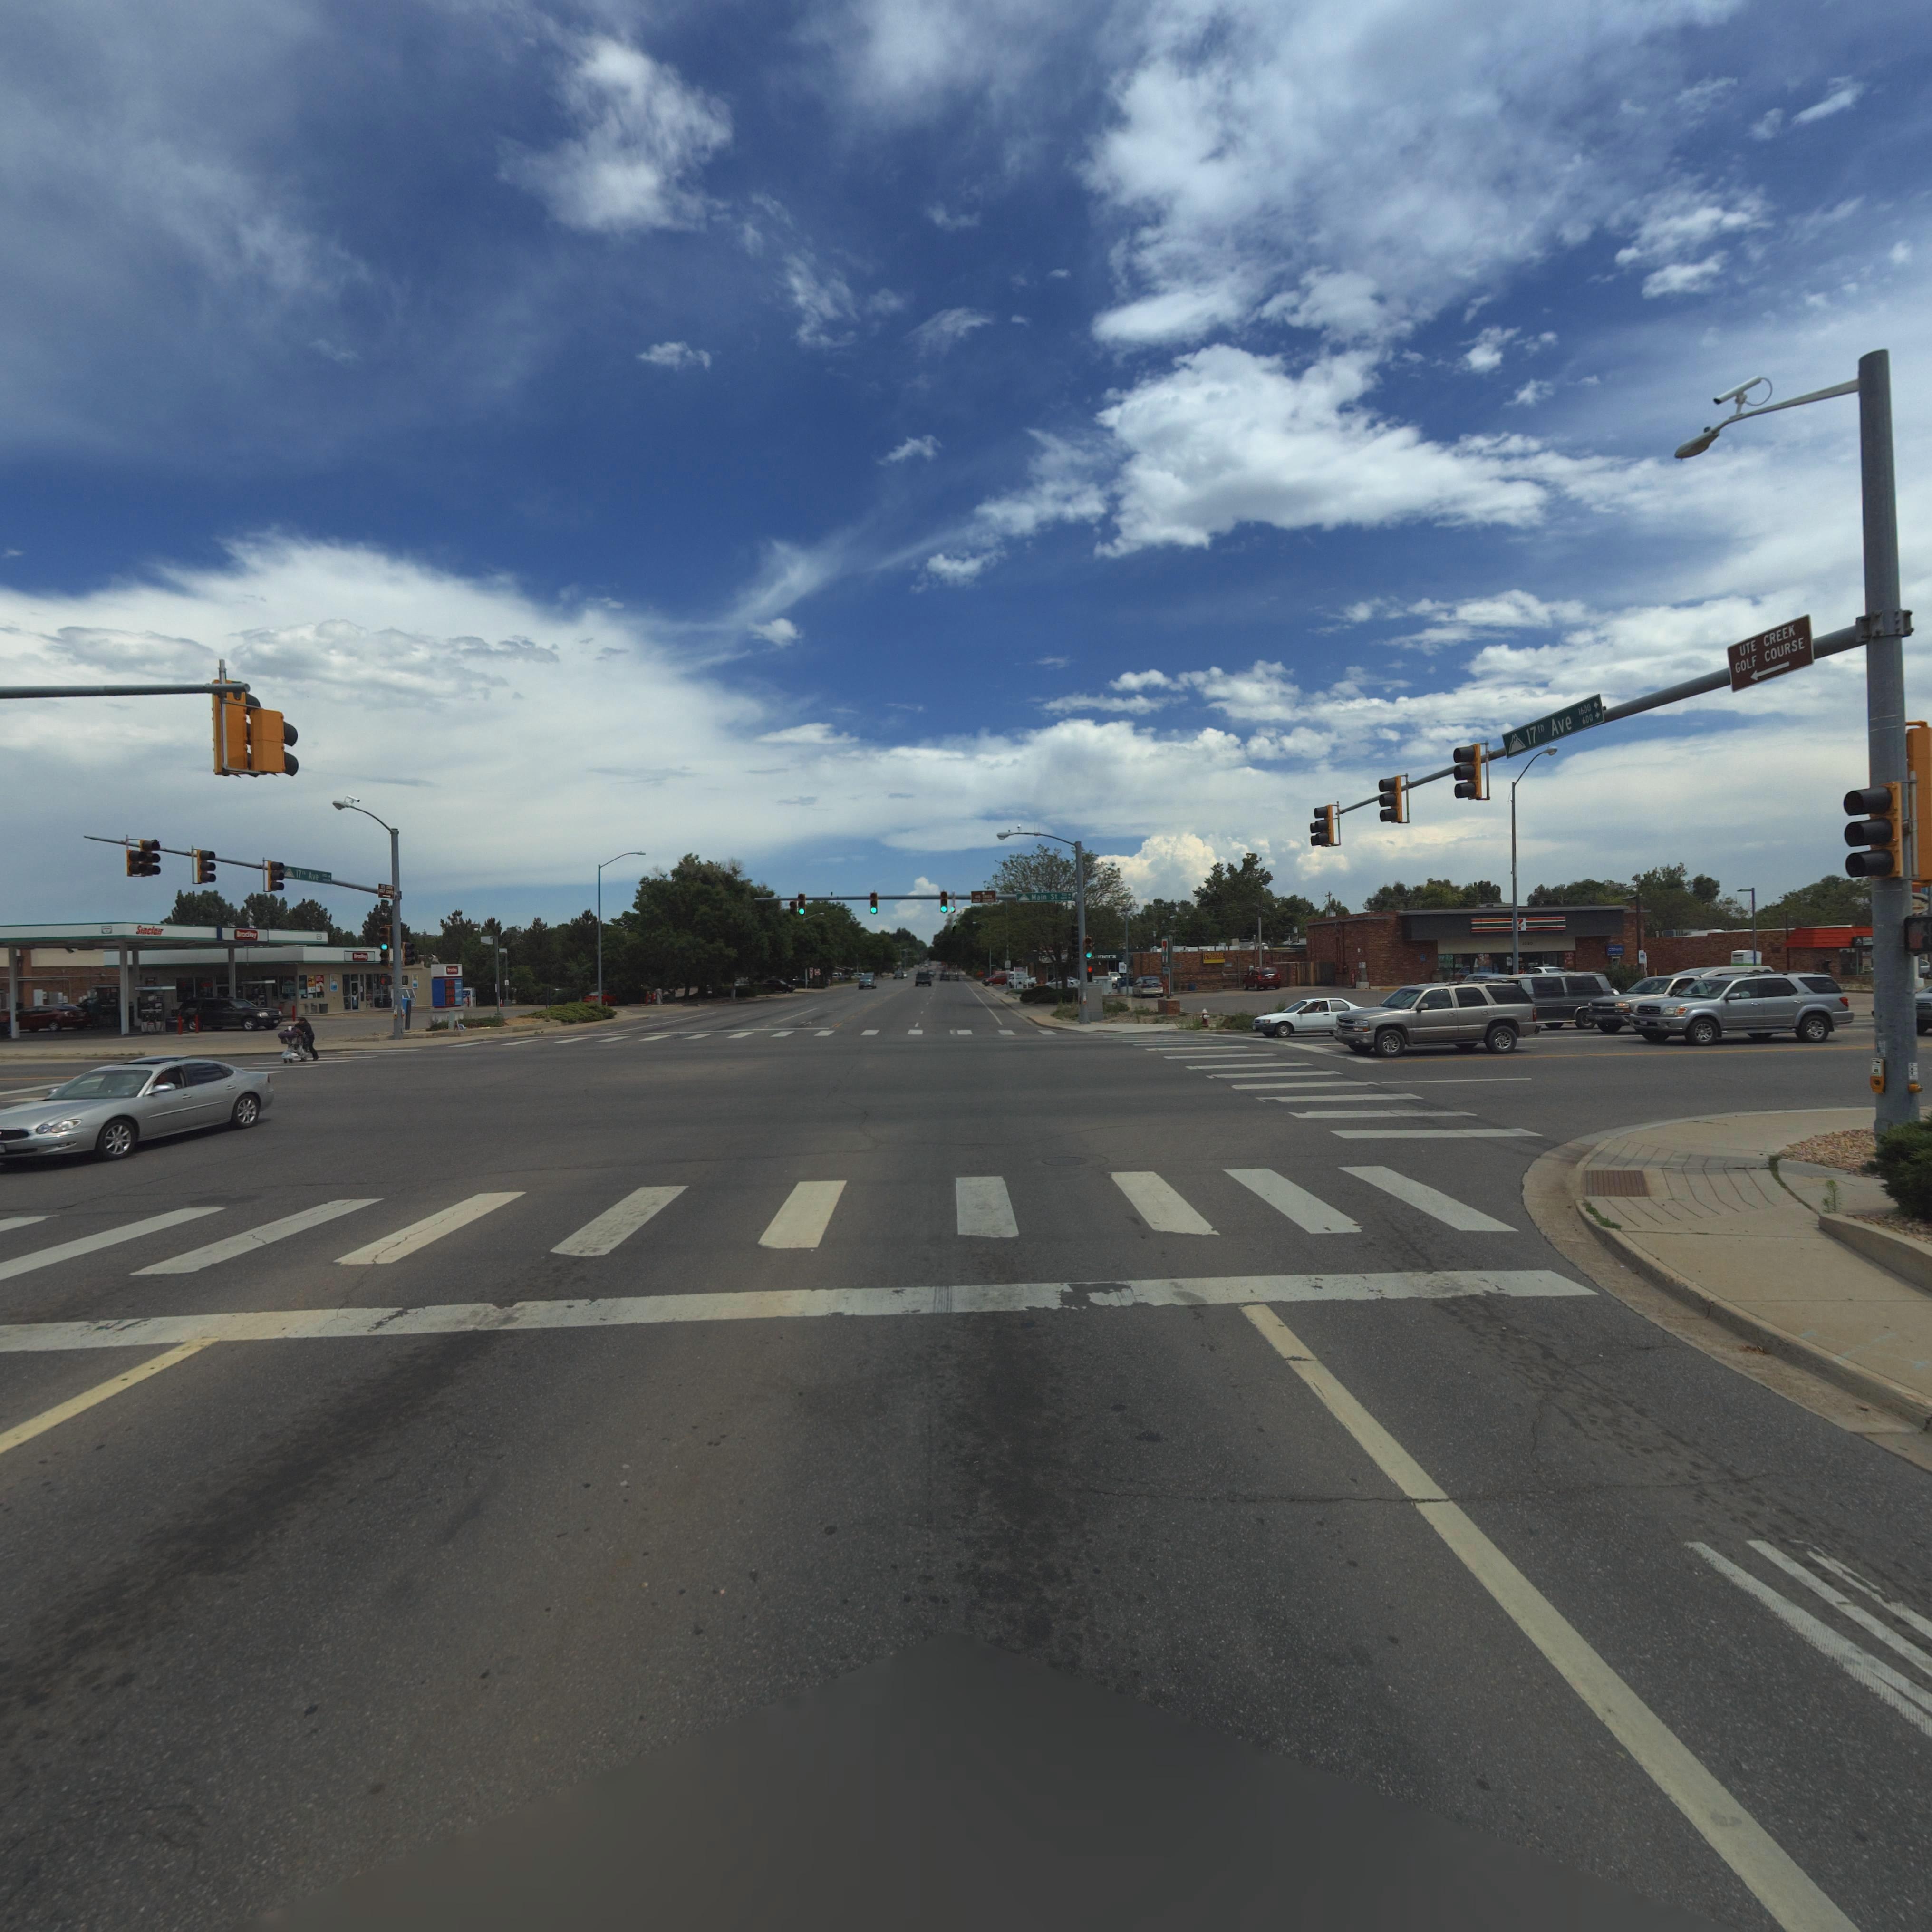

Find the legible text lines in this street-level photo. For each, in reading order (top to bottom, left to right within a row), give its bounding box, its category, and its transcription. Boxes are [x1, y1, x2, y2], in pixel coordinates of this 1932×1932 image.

[1577, 703, 1592, 716] StreetNumberRange: 1600
[1581, 711, 1601, 725] StreetNumberRange: 600->
[1525, 715, 1572, 745] StreetName: 17*h Ave
[295, 869, 319, 881] StreetName: 17** Ave
[1031, 893, 1058, 900] StreetName: Main St
[135, 924, 164, 936] BusinessName: S**cl**r
[236, 930, 257, 939] BusinessName: **d***
[1522, 940, 1533, 945] StreetNumber: 1**0
[1094, 954, 1117, 959] BusinessName: **ers
[1161, 940, 1167, 963] BusinessName: 7